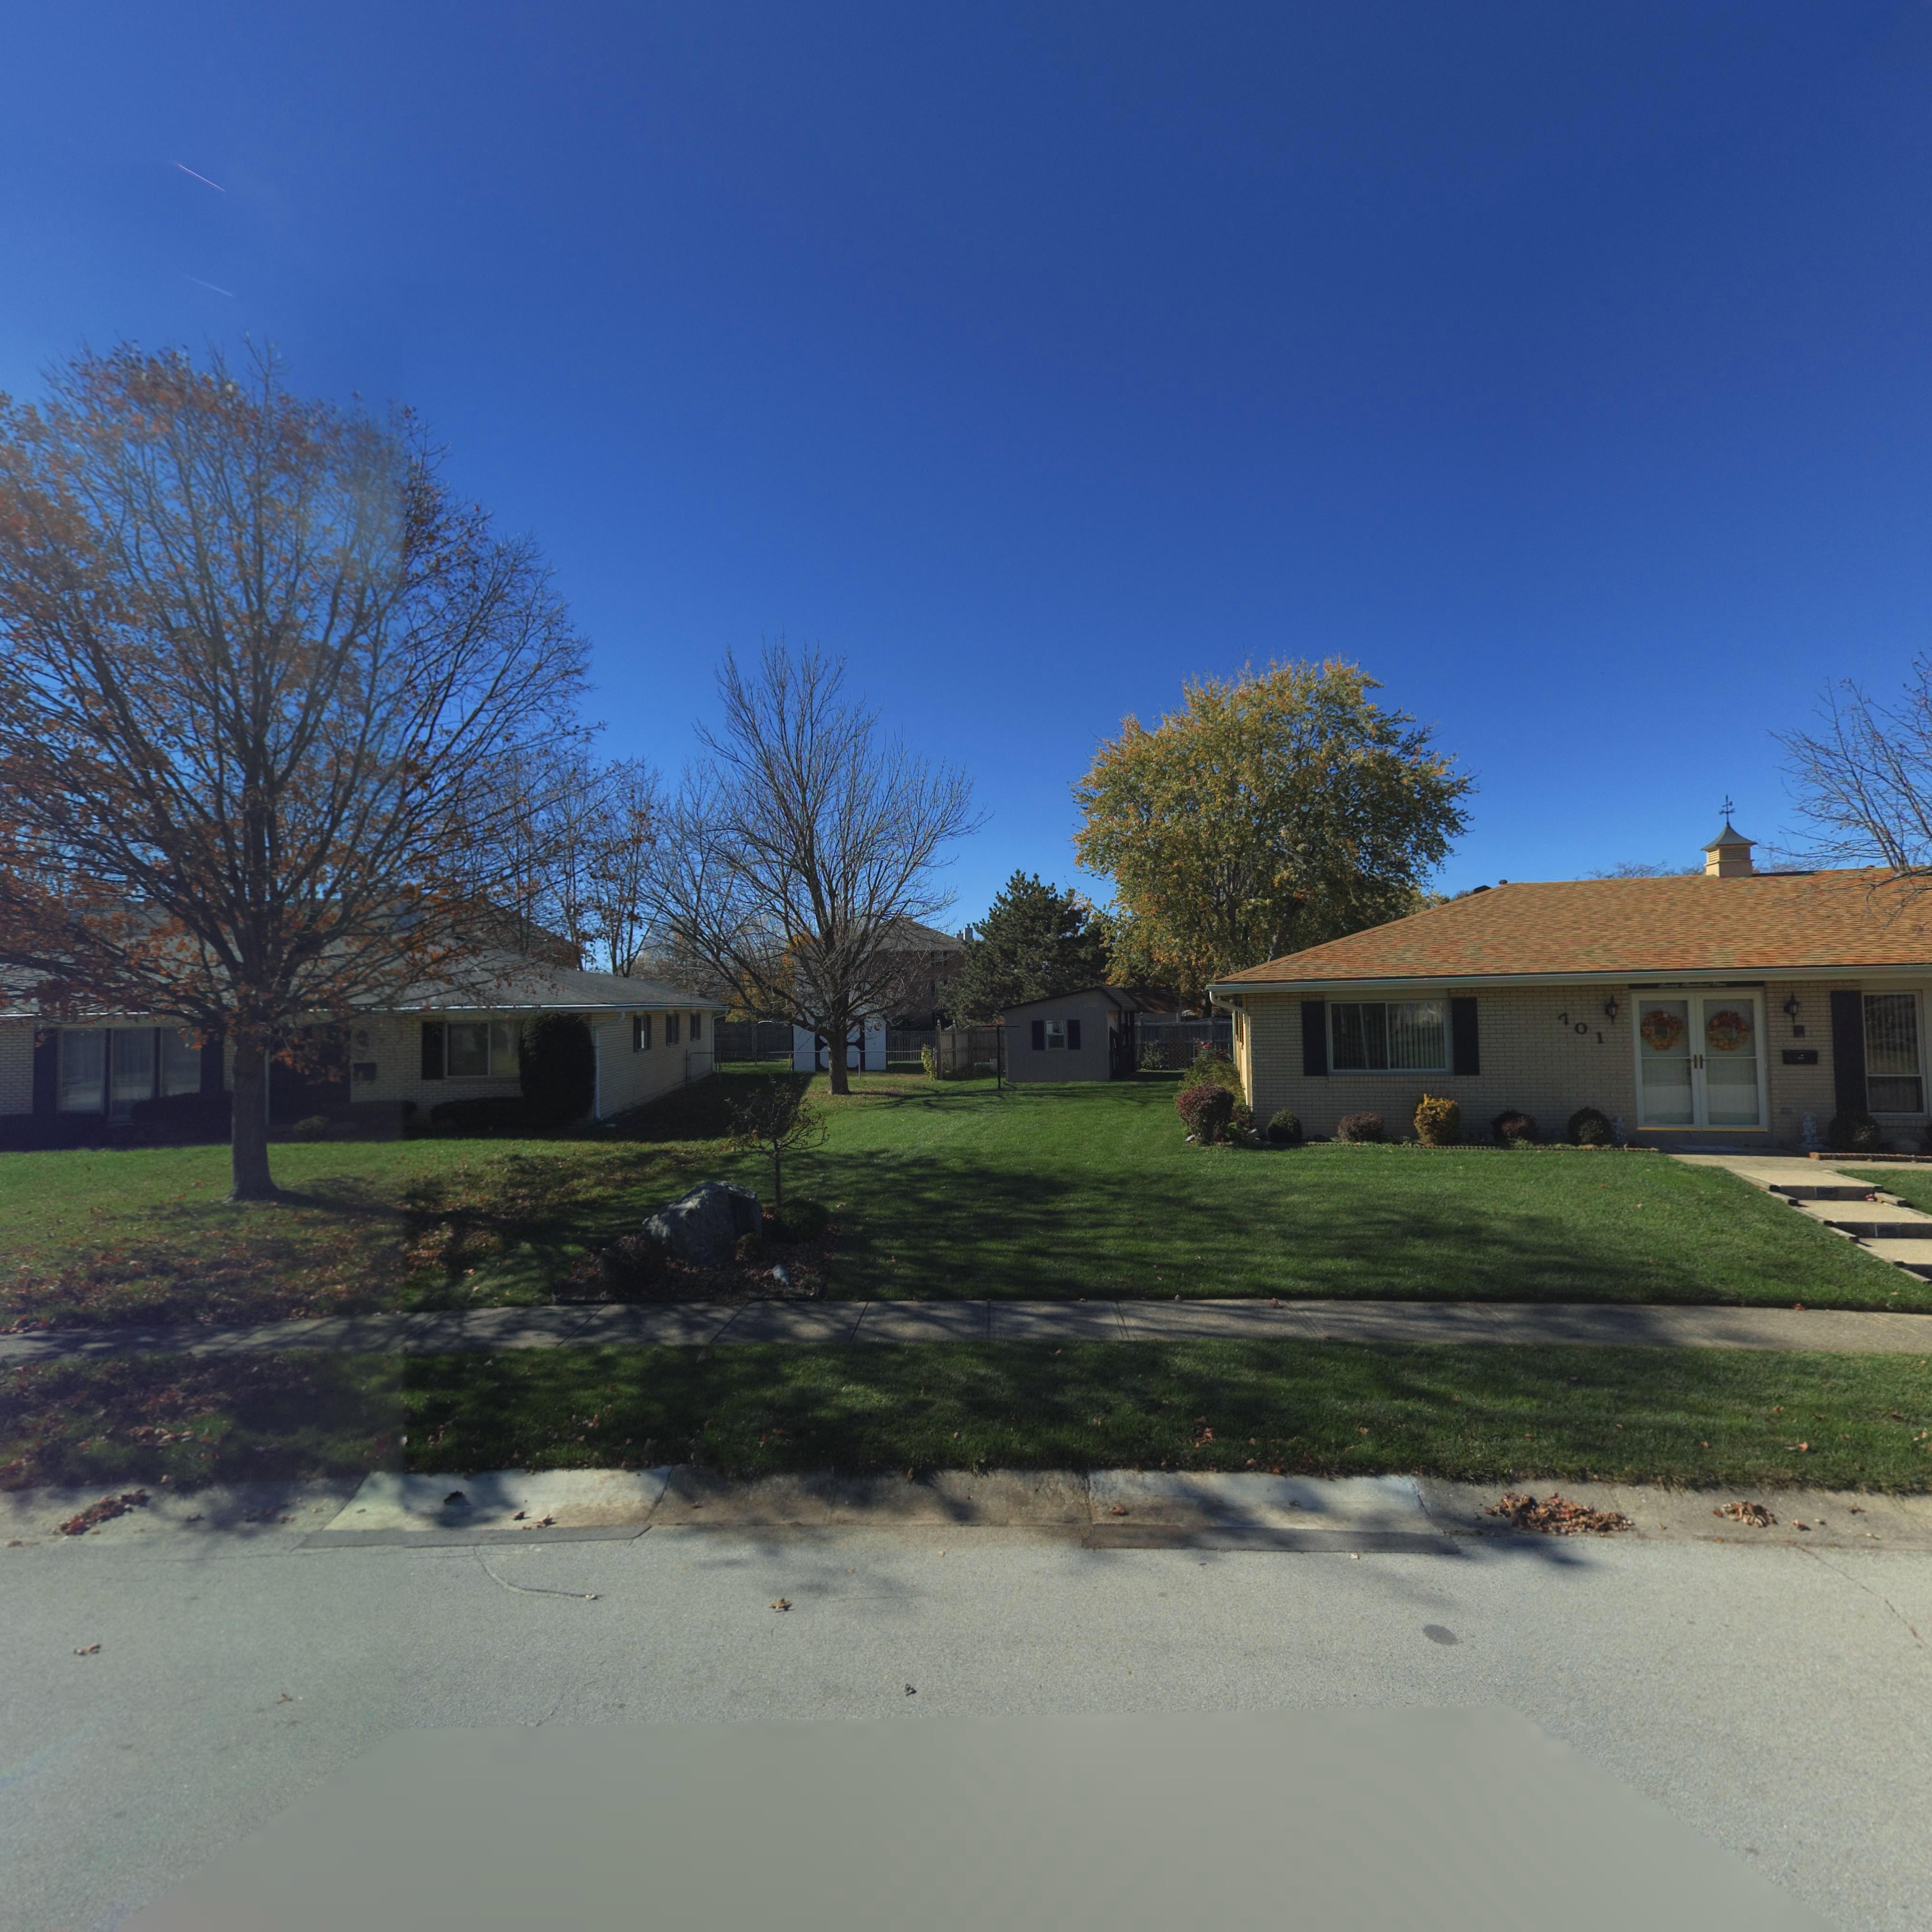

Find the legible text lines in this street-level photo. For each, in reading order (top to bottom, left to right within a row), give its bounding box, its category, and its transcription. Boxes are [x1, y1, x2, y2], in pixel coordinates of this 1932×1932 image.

[1657, 980, 1728, 988] StreetNumber: Seven Hundred One
[1556, 1011, 1604, 1044] StreetNumber: 701